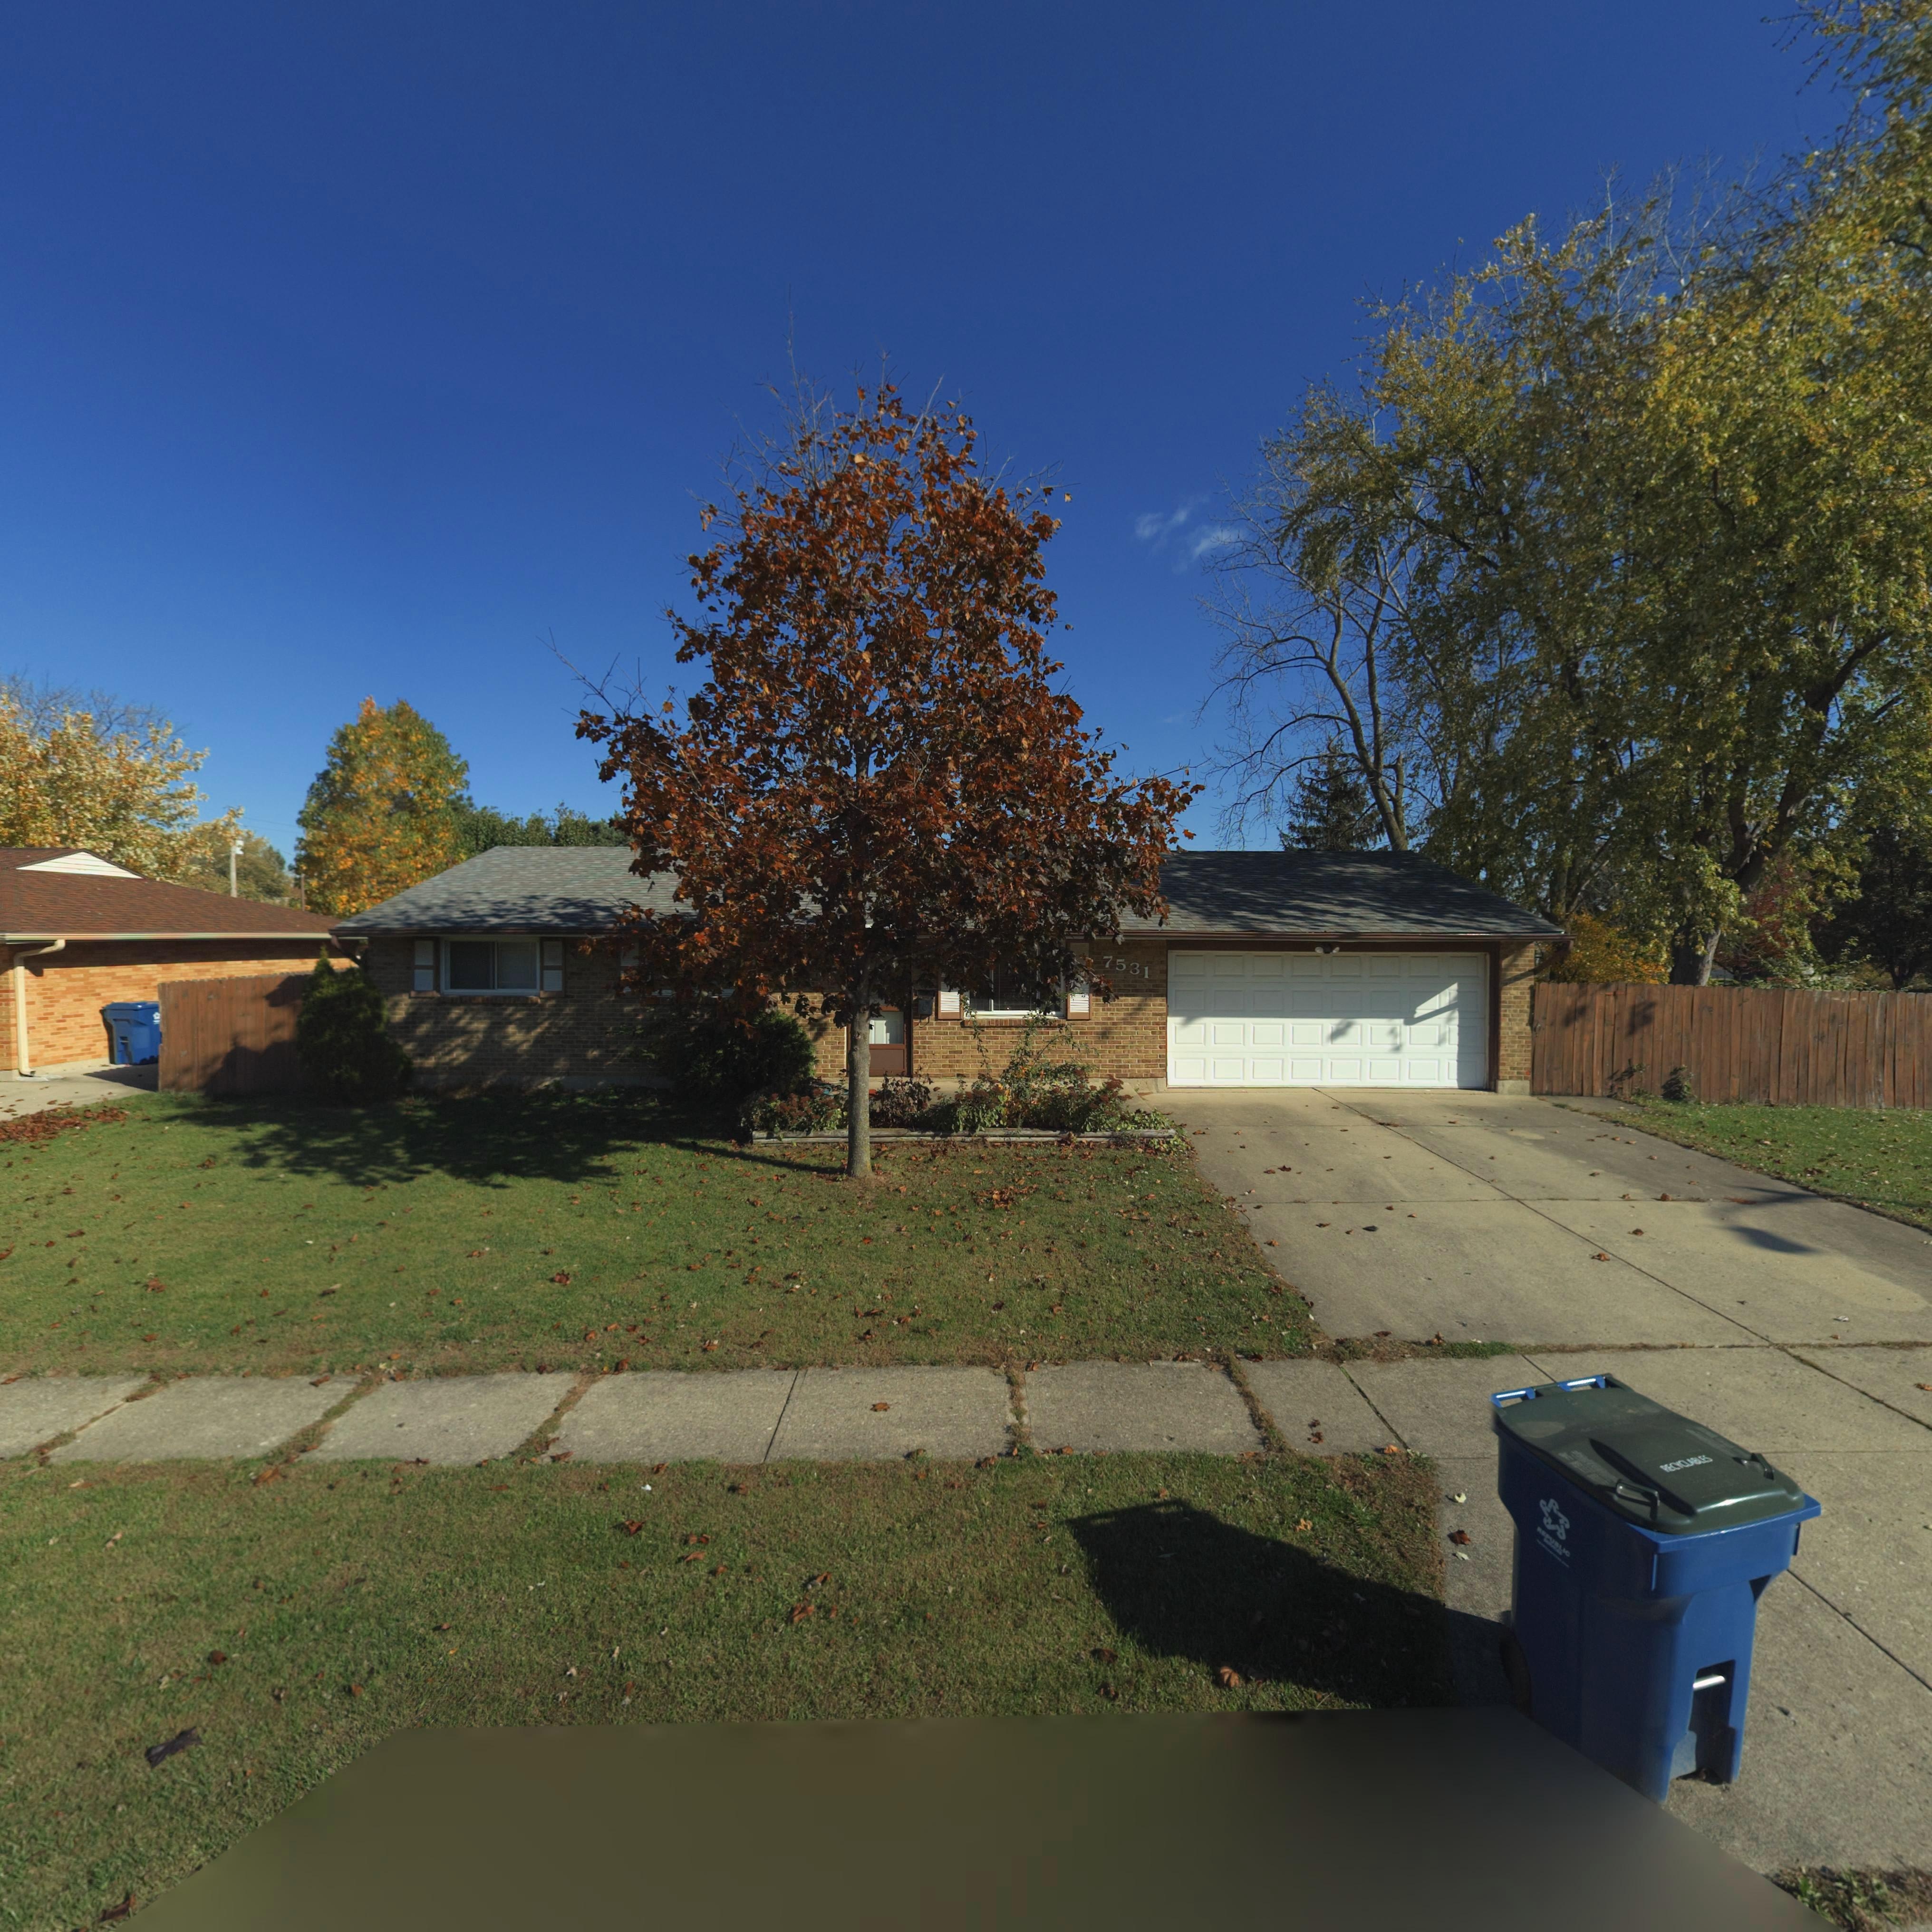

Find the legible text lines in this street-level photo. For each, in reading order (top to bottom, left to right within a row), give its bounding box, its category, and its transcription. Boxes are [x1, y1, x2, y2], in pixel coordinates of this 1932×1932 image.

[1102, 955, 1150, 979] StreetNumber: 7531